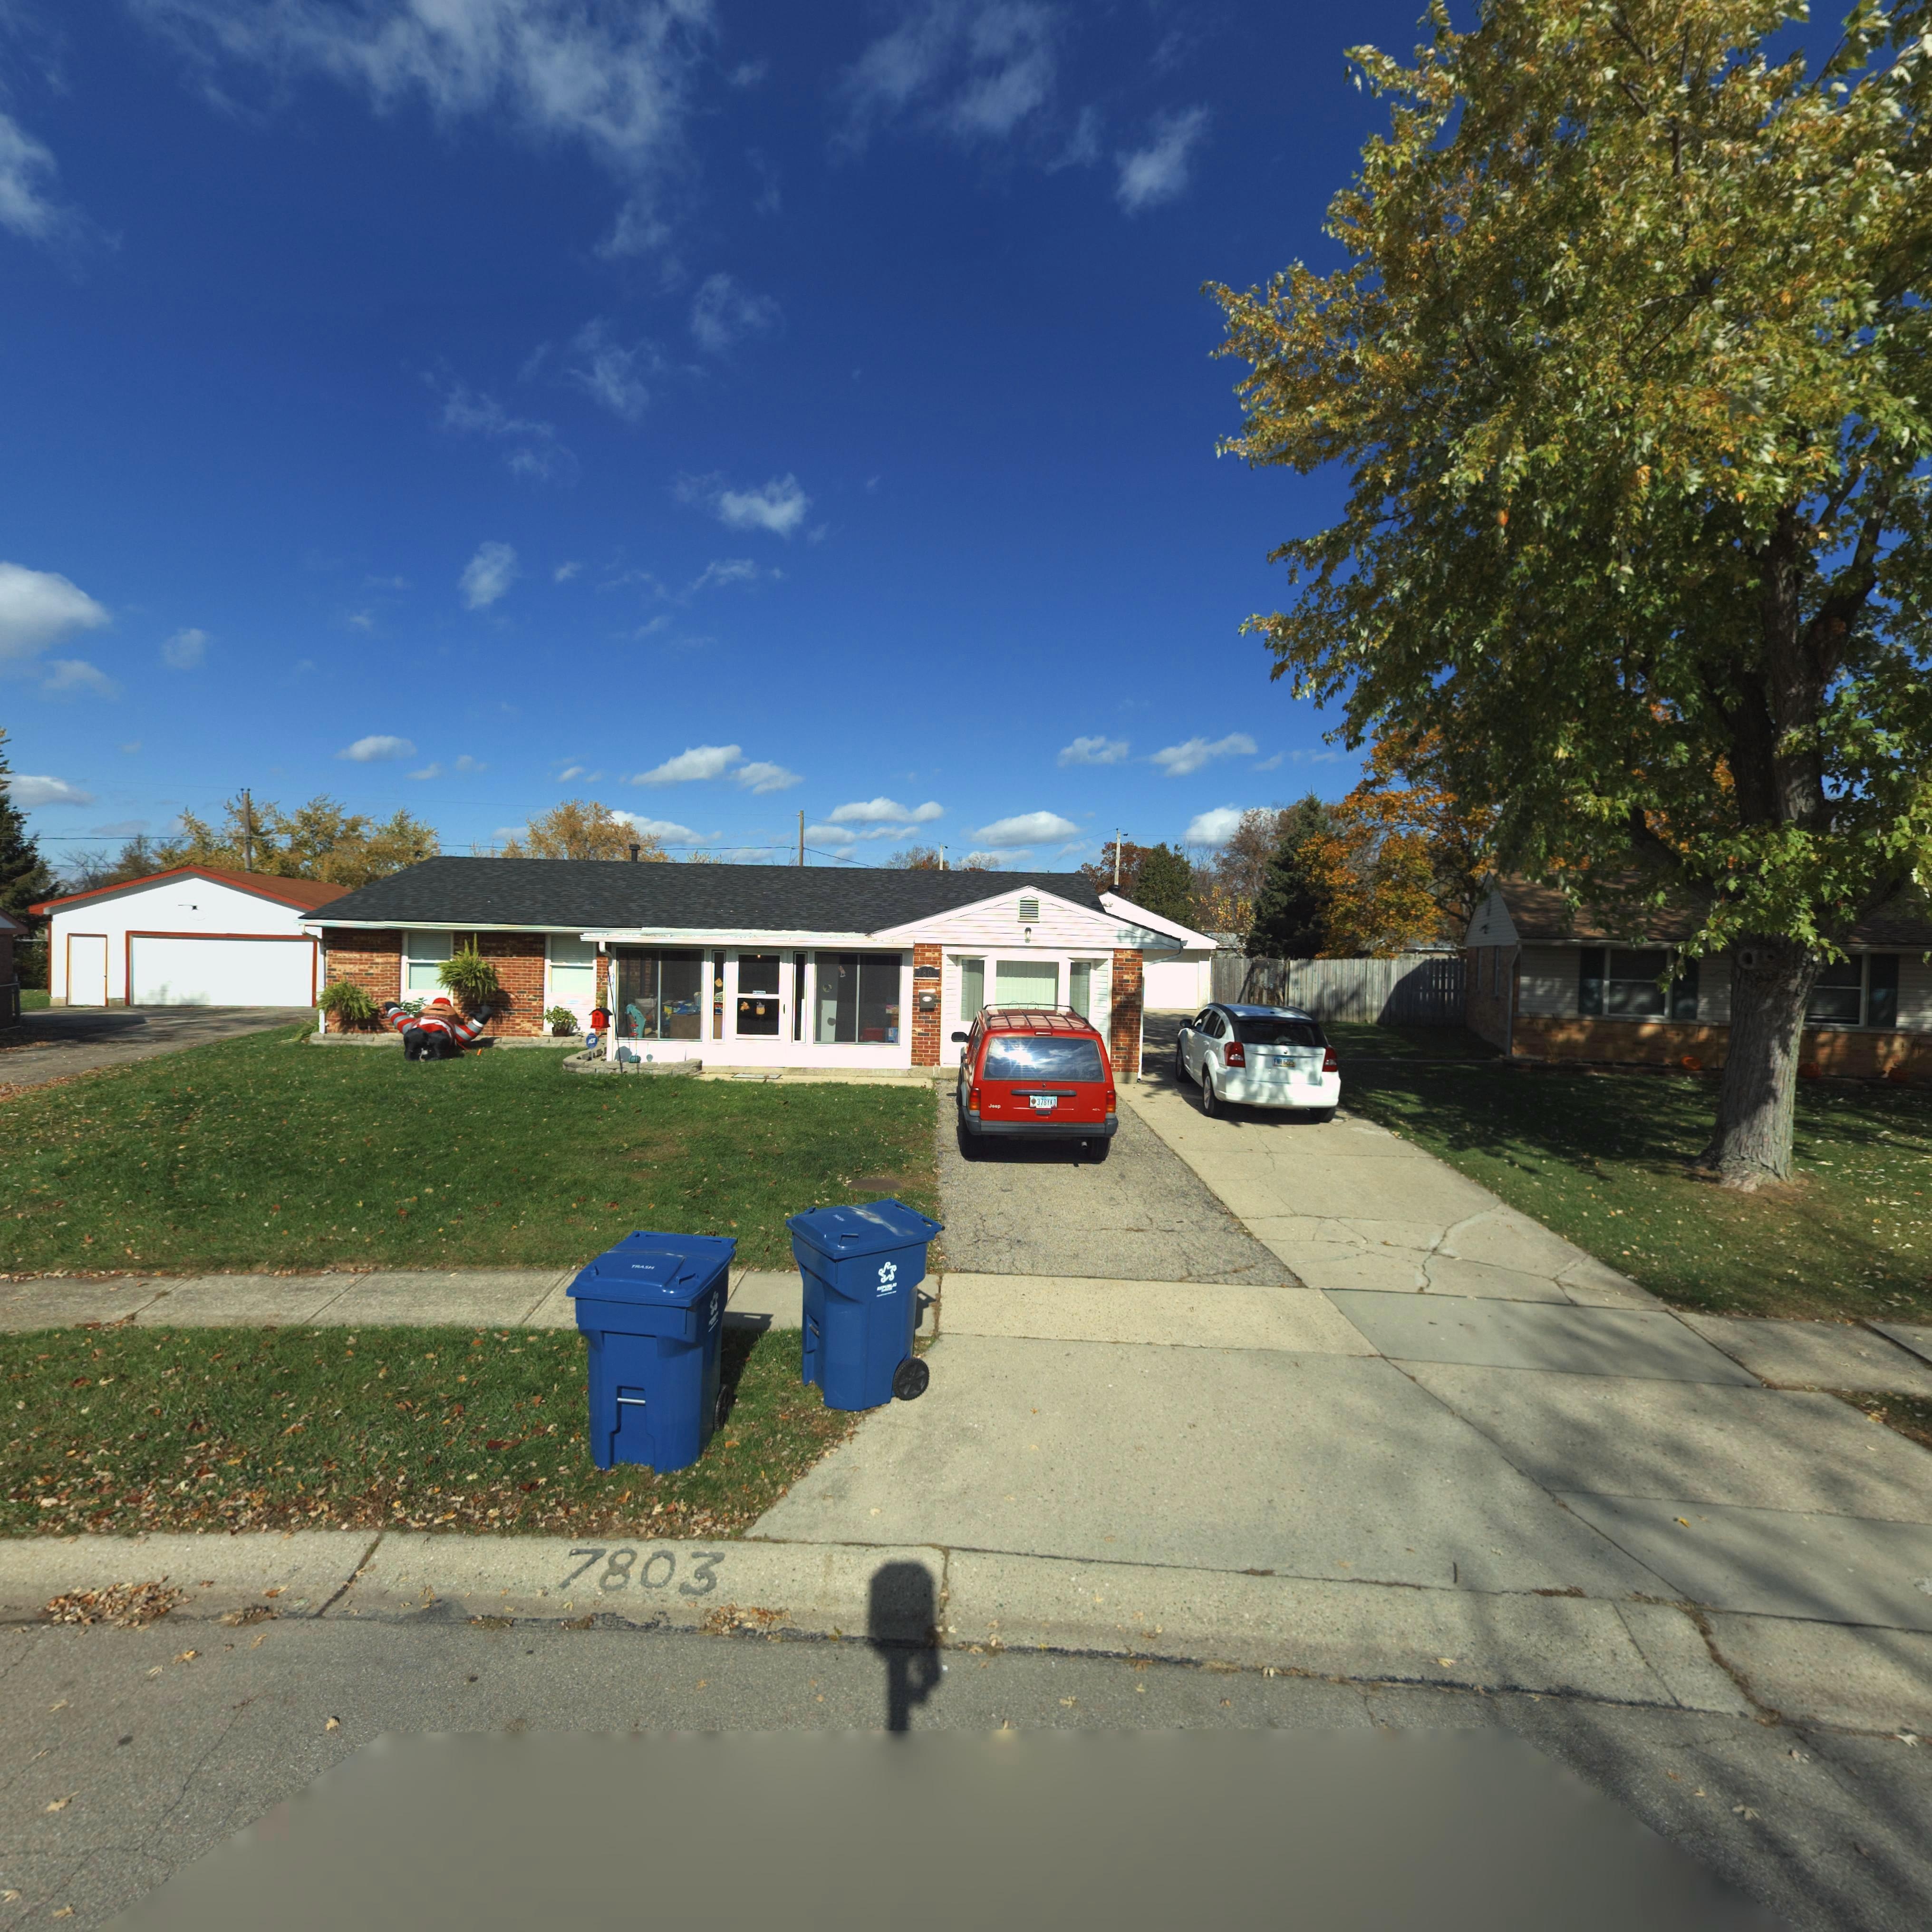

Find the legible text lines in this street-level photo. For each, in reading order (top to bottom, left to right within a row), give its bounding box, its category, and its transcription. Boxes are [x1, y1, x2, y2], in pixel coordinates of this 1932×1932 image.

[553, 1546, 727, 1599] StreetNumber: 7803